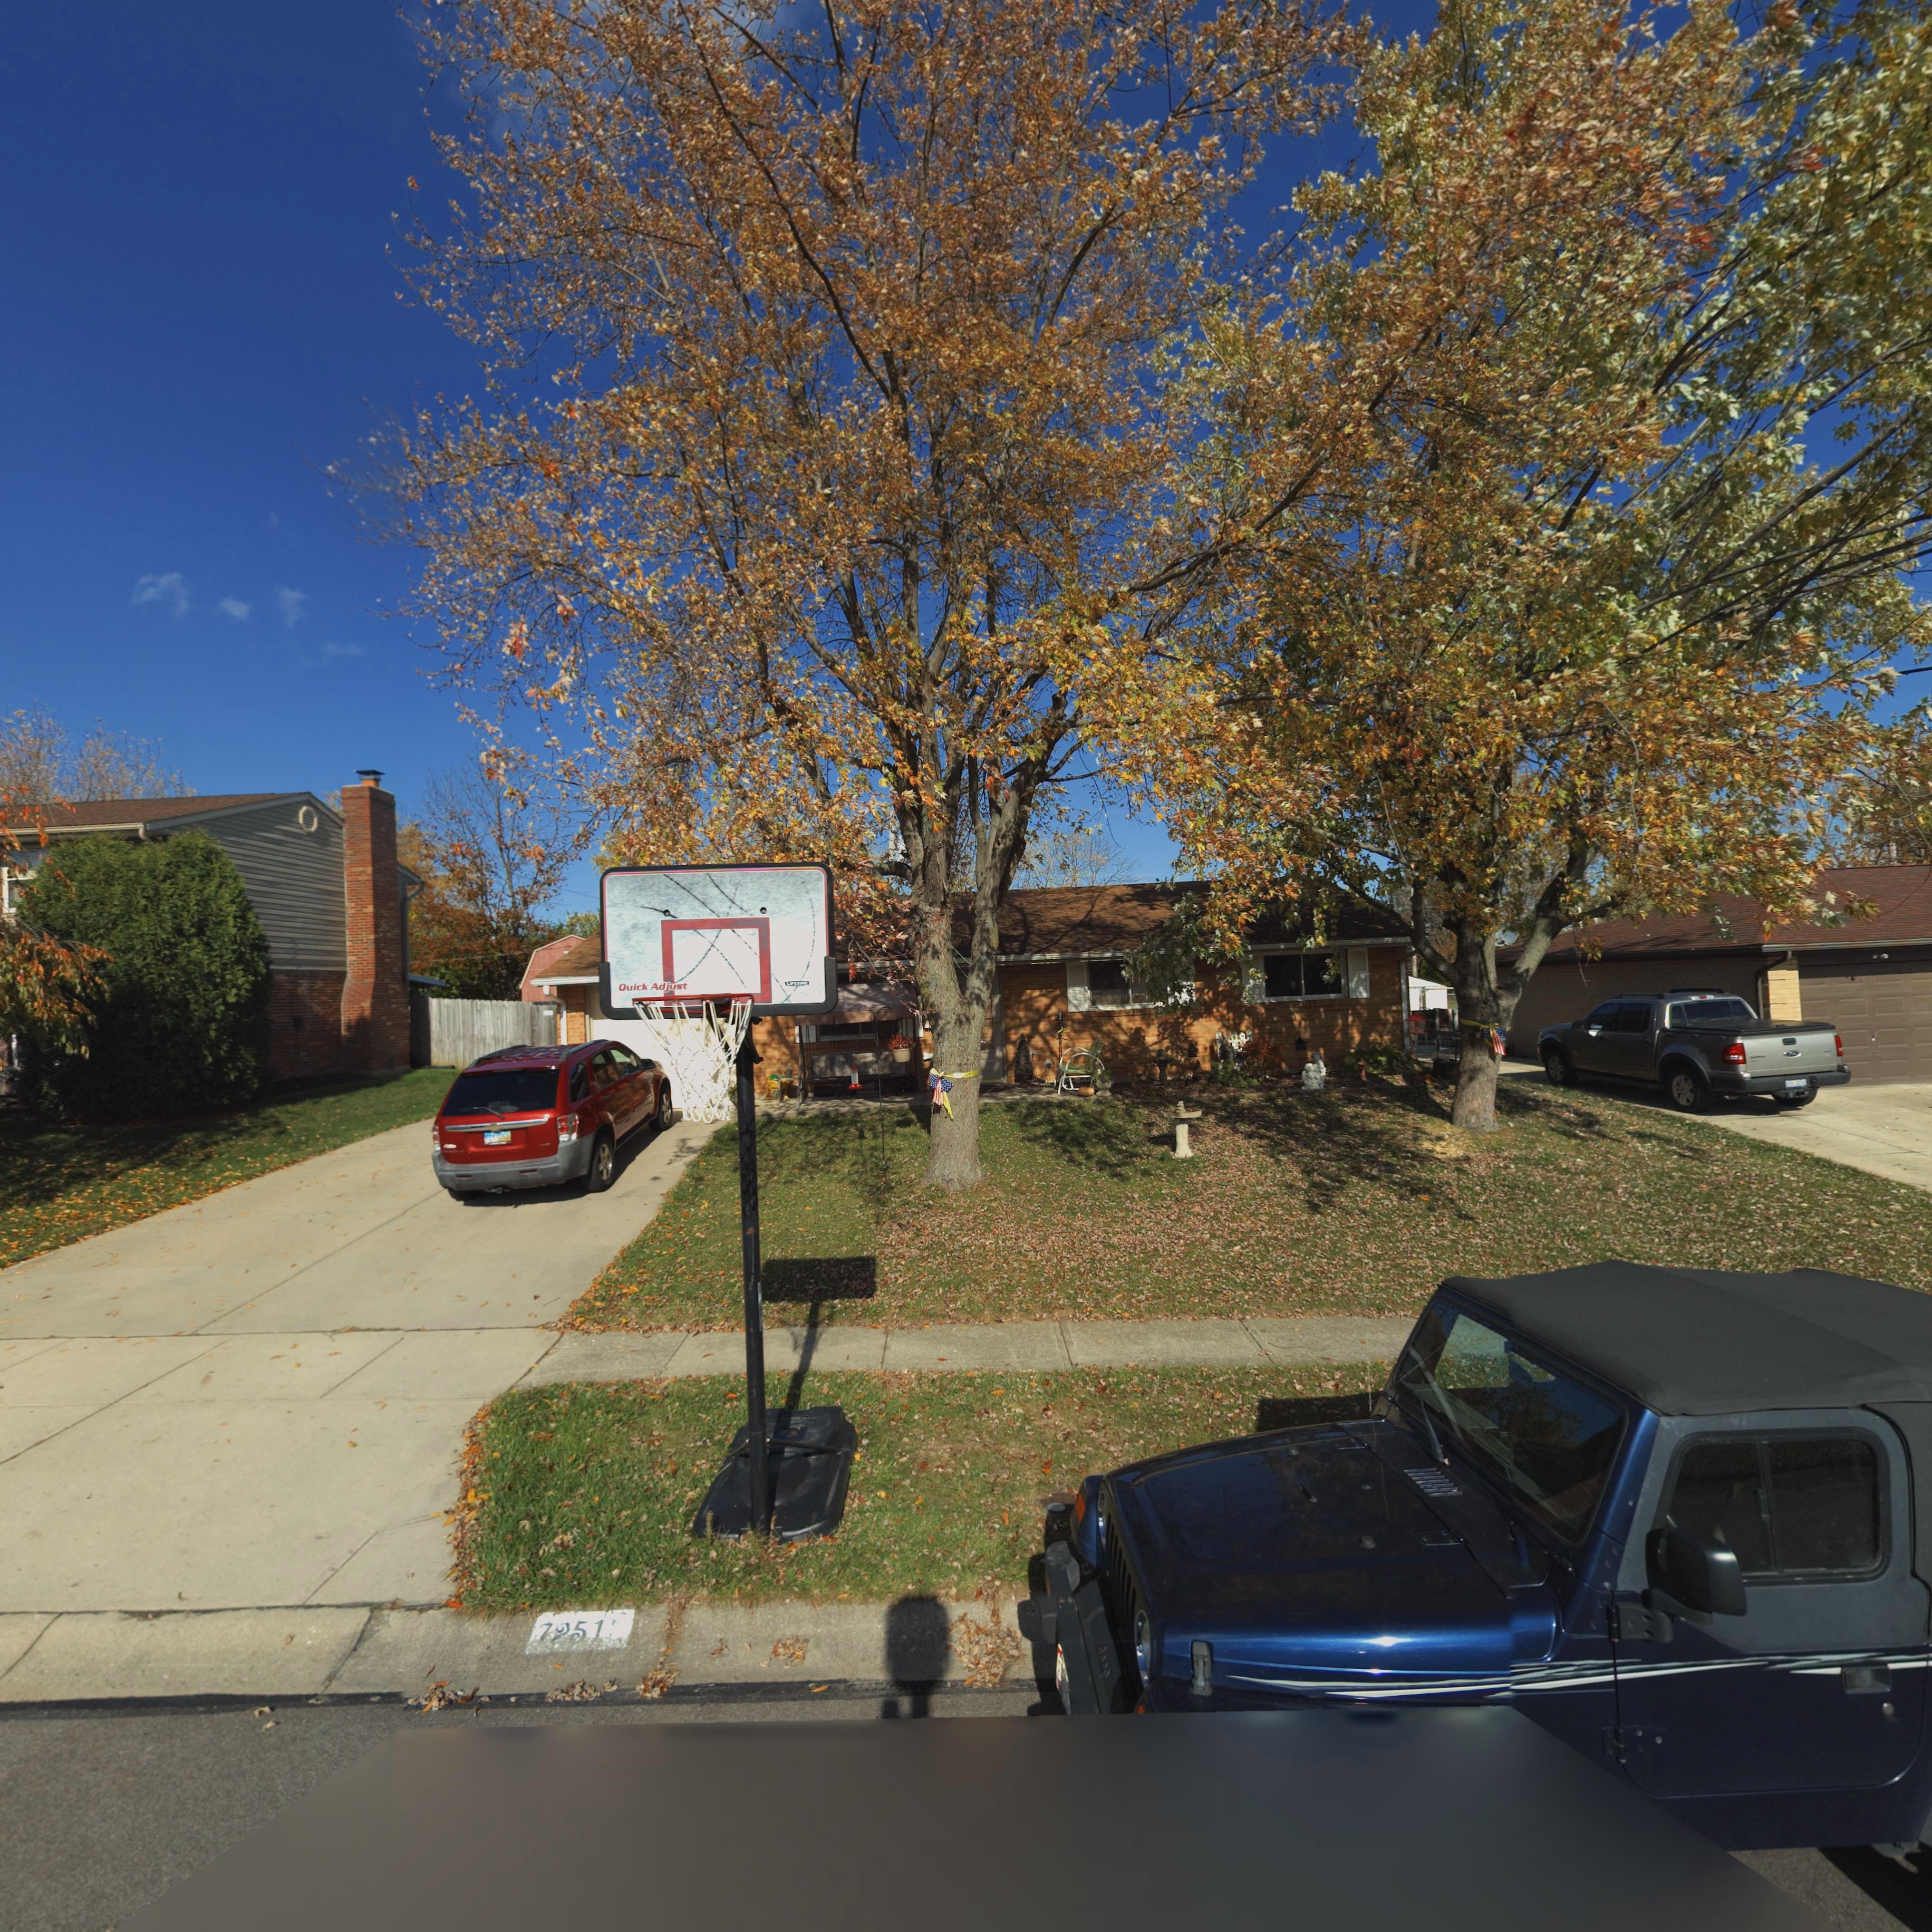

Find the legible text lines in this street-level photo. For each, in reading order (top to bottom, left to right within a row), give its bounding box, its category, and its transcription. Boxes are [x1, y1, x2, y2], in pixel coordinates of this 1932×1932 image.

[536, 1617, 606, 1645] StreetNumber: 7**1